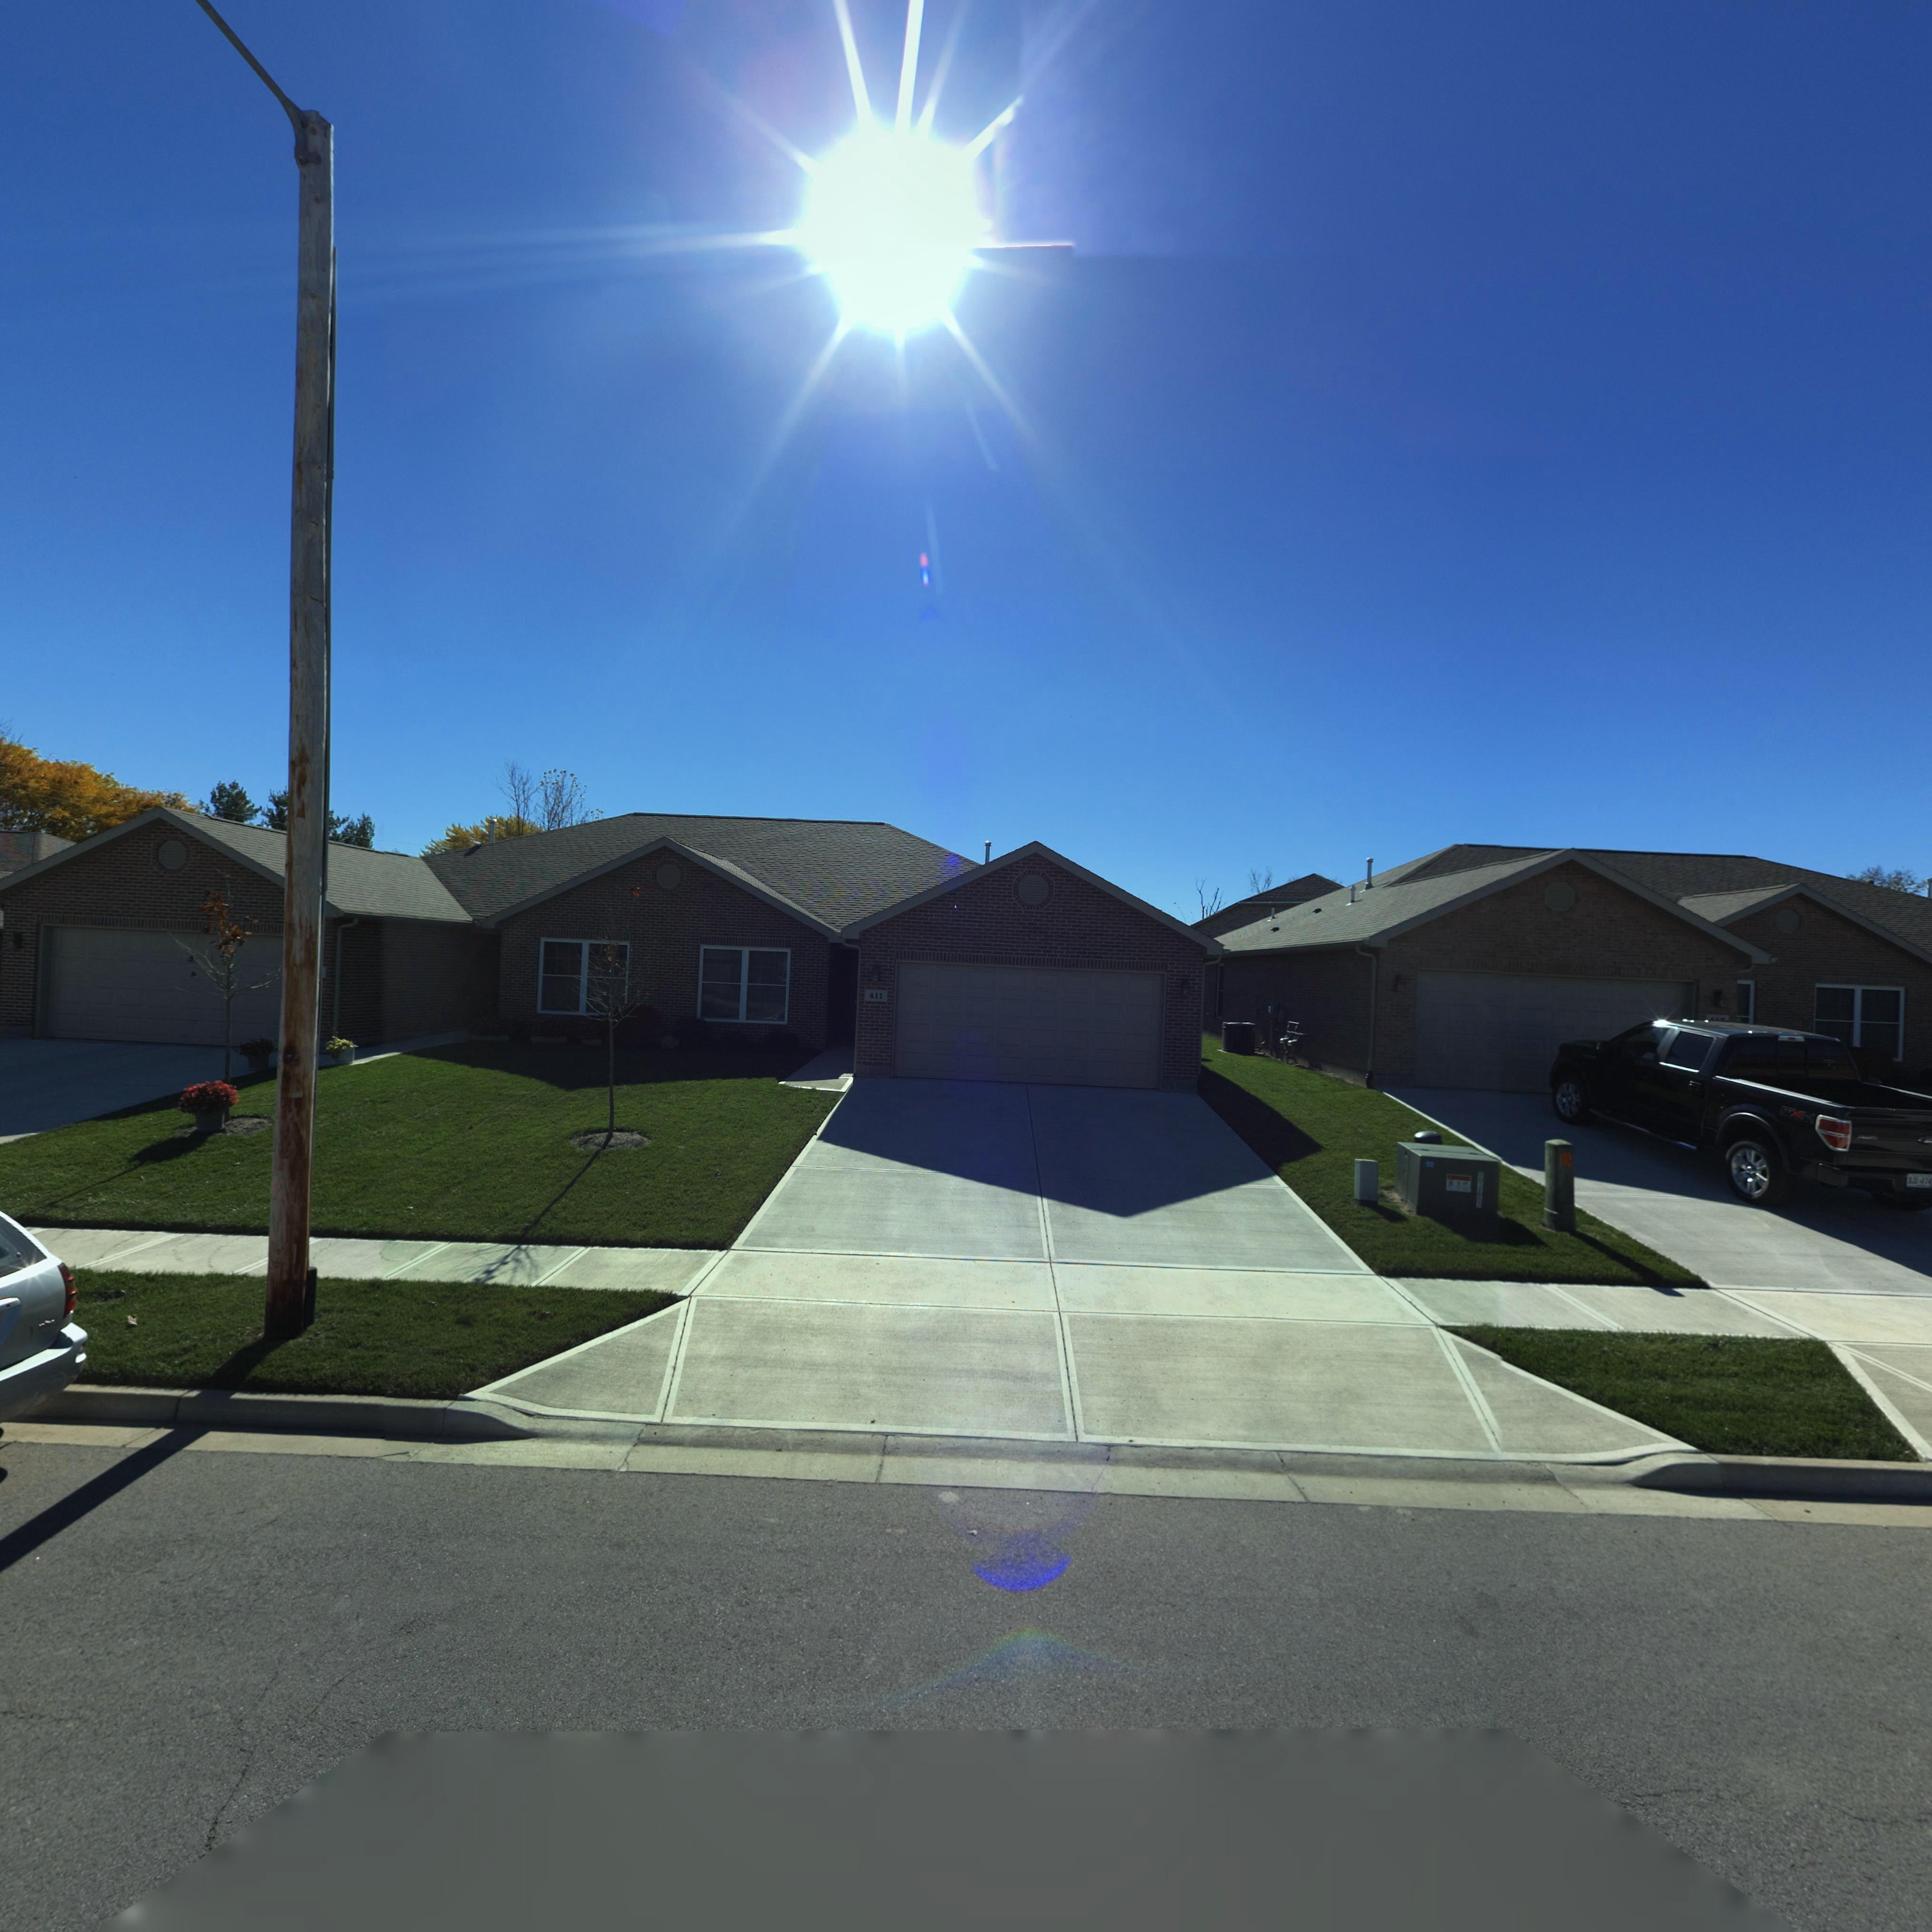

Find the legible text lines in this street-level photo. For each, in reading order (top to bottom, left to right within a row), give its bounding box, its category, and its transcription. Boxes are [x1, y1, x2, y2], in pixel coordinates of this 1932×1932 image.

[868, 991, 884, 1000] StreetNumber: 411